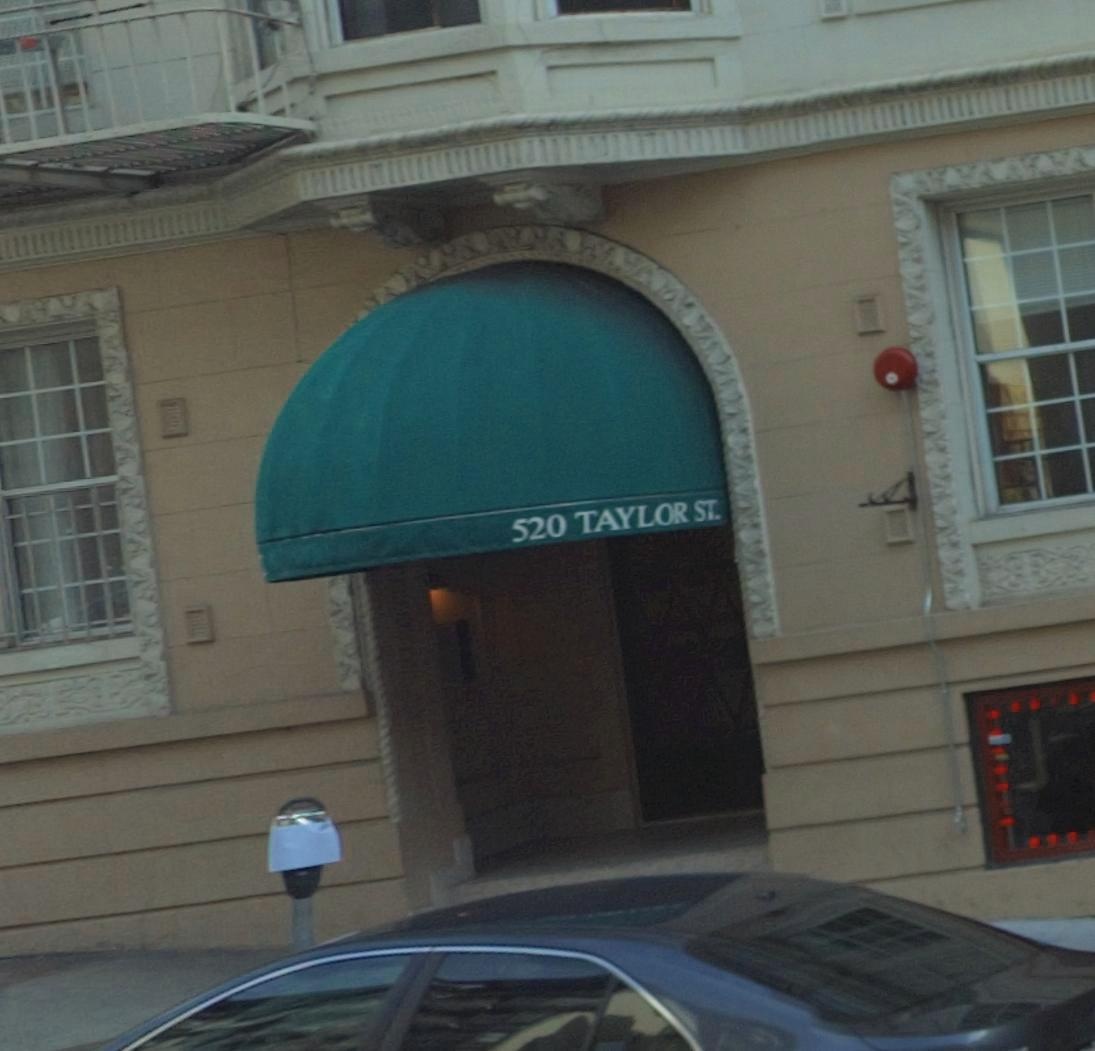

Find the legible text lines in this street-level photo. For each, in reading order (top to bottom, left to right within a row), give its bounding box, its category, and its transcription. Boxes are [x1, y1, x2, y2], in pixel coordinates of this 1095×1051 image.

[507, 507, 572, 549] StreetNumber: 520
[570, 493, 728, 540] StreetName: TAYLOR ST.